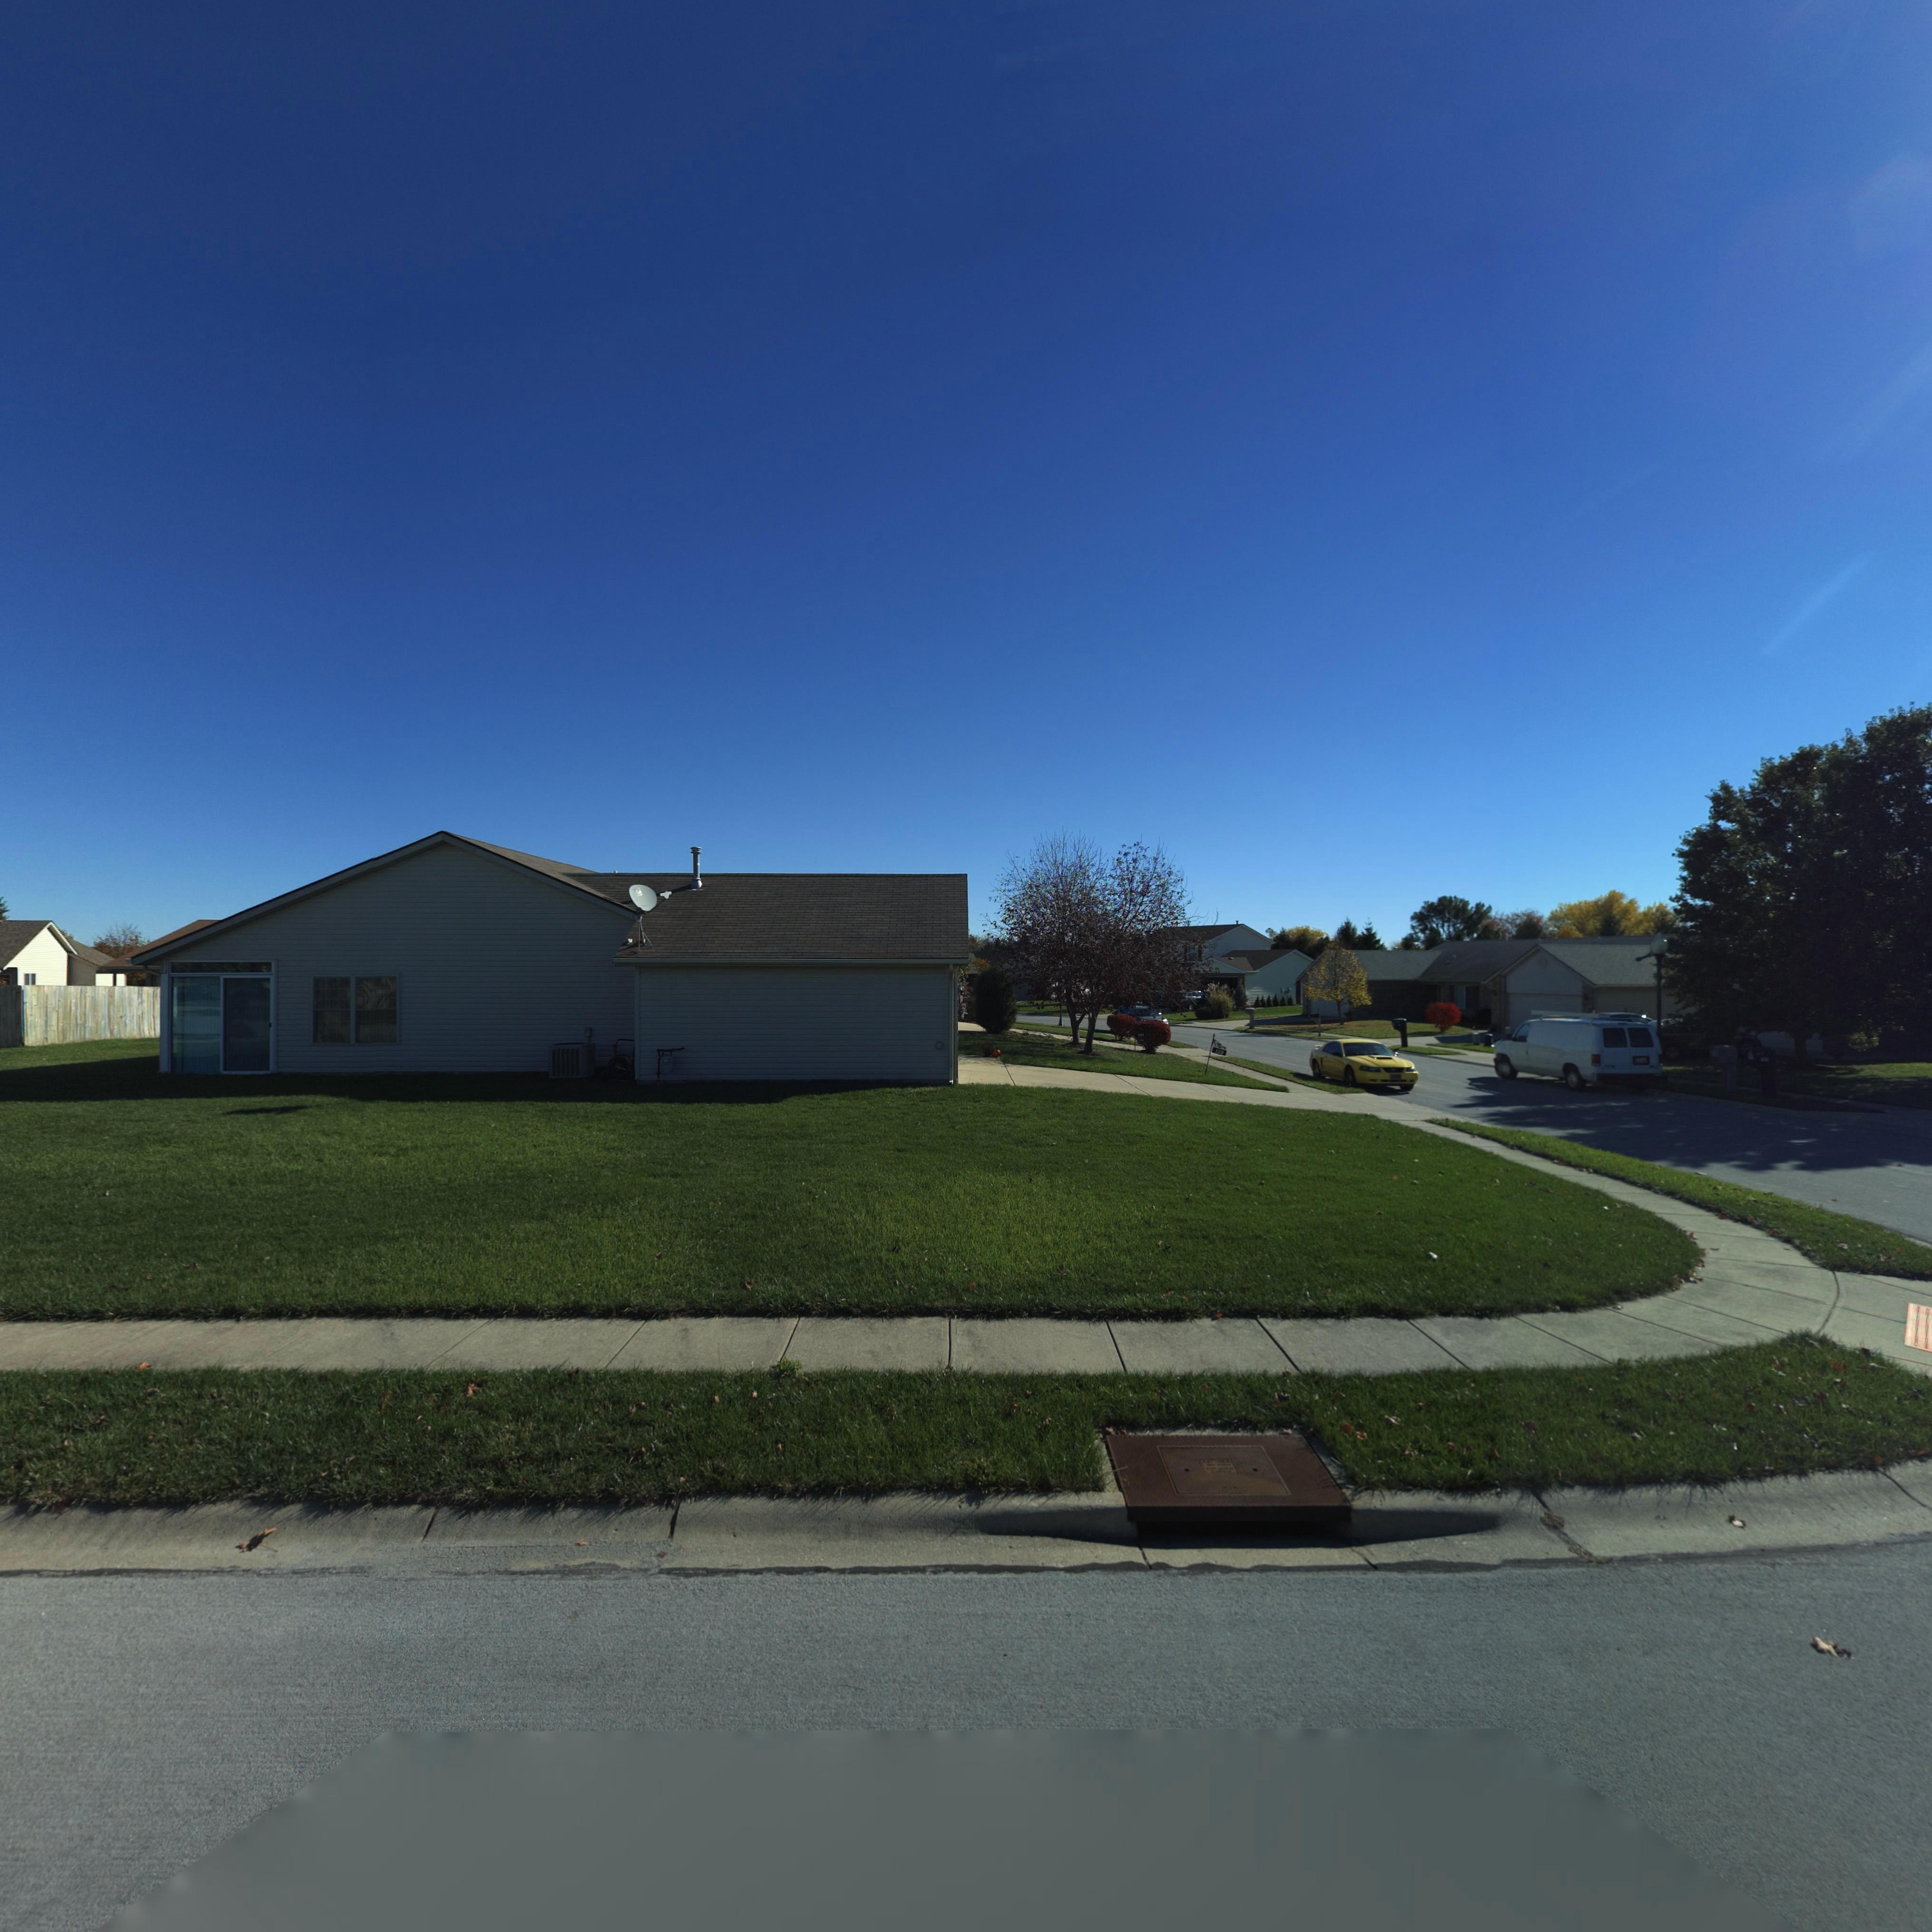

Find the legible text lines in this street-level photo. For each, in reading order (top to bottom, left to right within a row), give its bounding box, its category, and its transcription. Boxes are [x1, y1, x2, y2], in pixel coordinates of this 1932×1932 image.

[1137, 1033, 1144, 1037] StreetNumber: 141
[1214, 1048, 1225, 1055] StreetNumber: 139